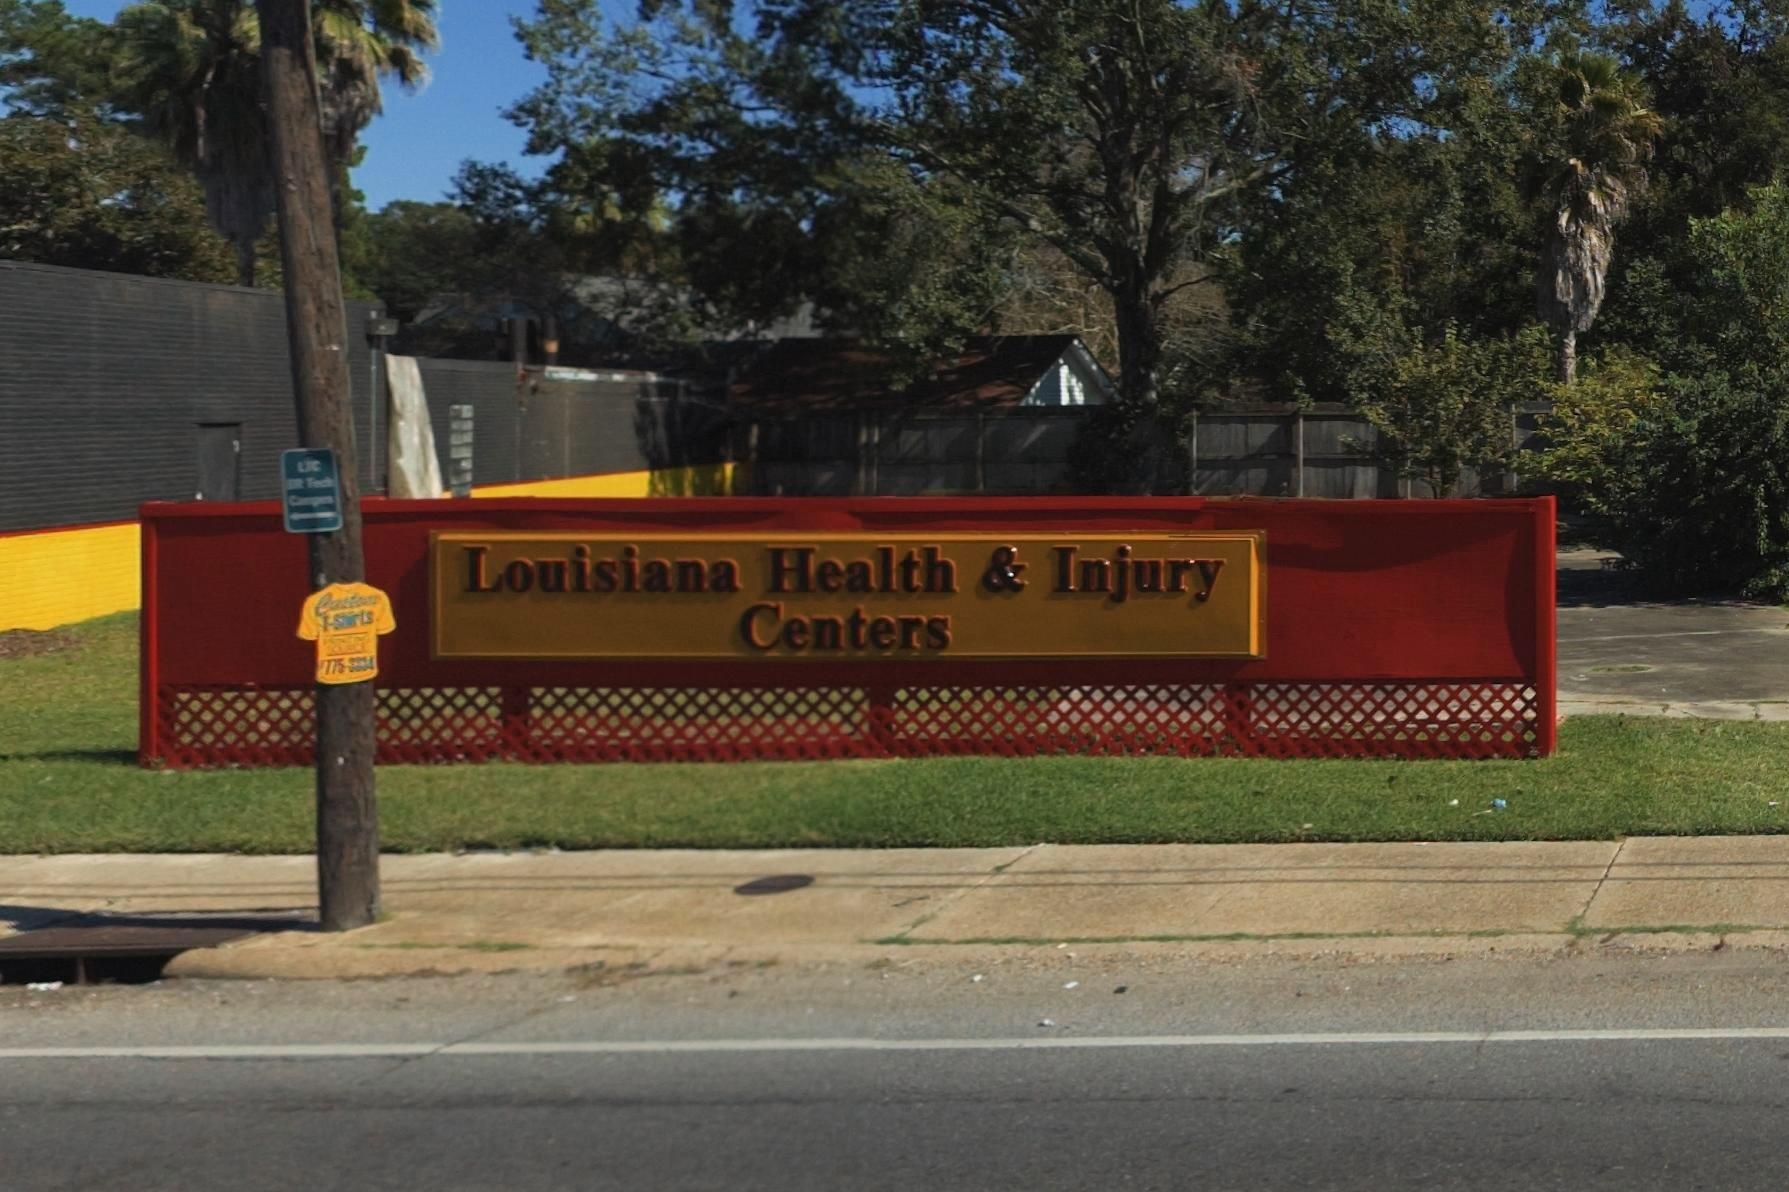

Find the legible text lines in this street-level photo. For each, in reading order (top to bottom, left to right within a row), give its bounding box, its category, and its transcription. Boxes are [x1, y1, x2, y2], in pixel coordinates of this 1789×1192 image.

[294, 458, 324, 477] None: LJC
[303, 474, 338, 490] None: Tech
[285, 491, 337, 510] None: Campus
[458, 539, 1232, 607] BusinessName: Louisiana Health & Injury
[310, 588, 382, 620] None: Custom
[317, 604, 378, 636] None: T-Shirts
[734, 597, 957, 655] BusinessName: Centers
[319, 652, 377, 680] None: 775-3334